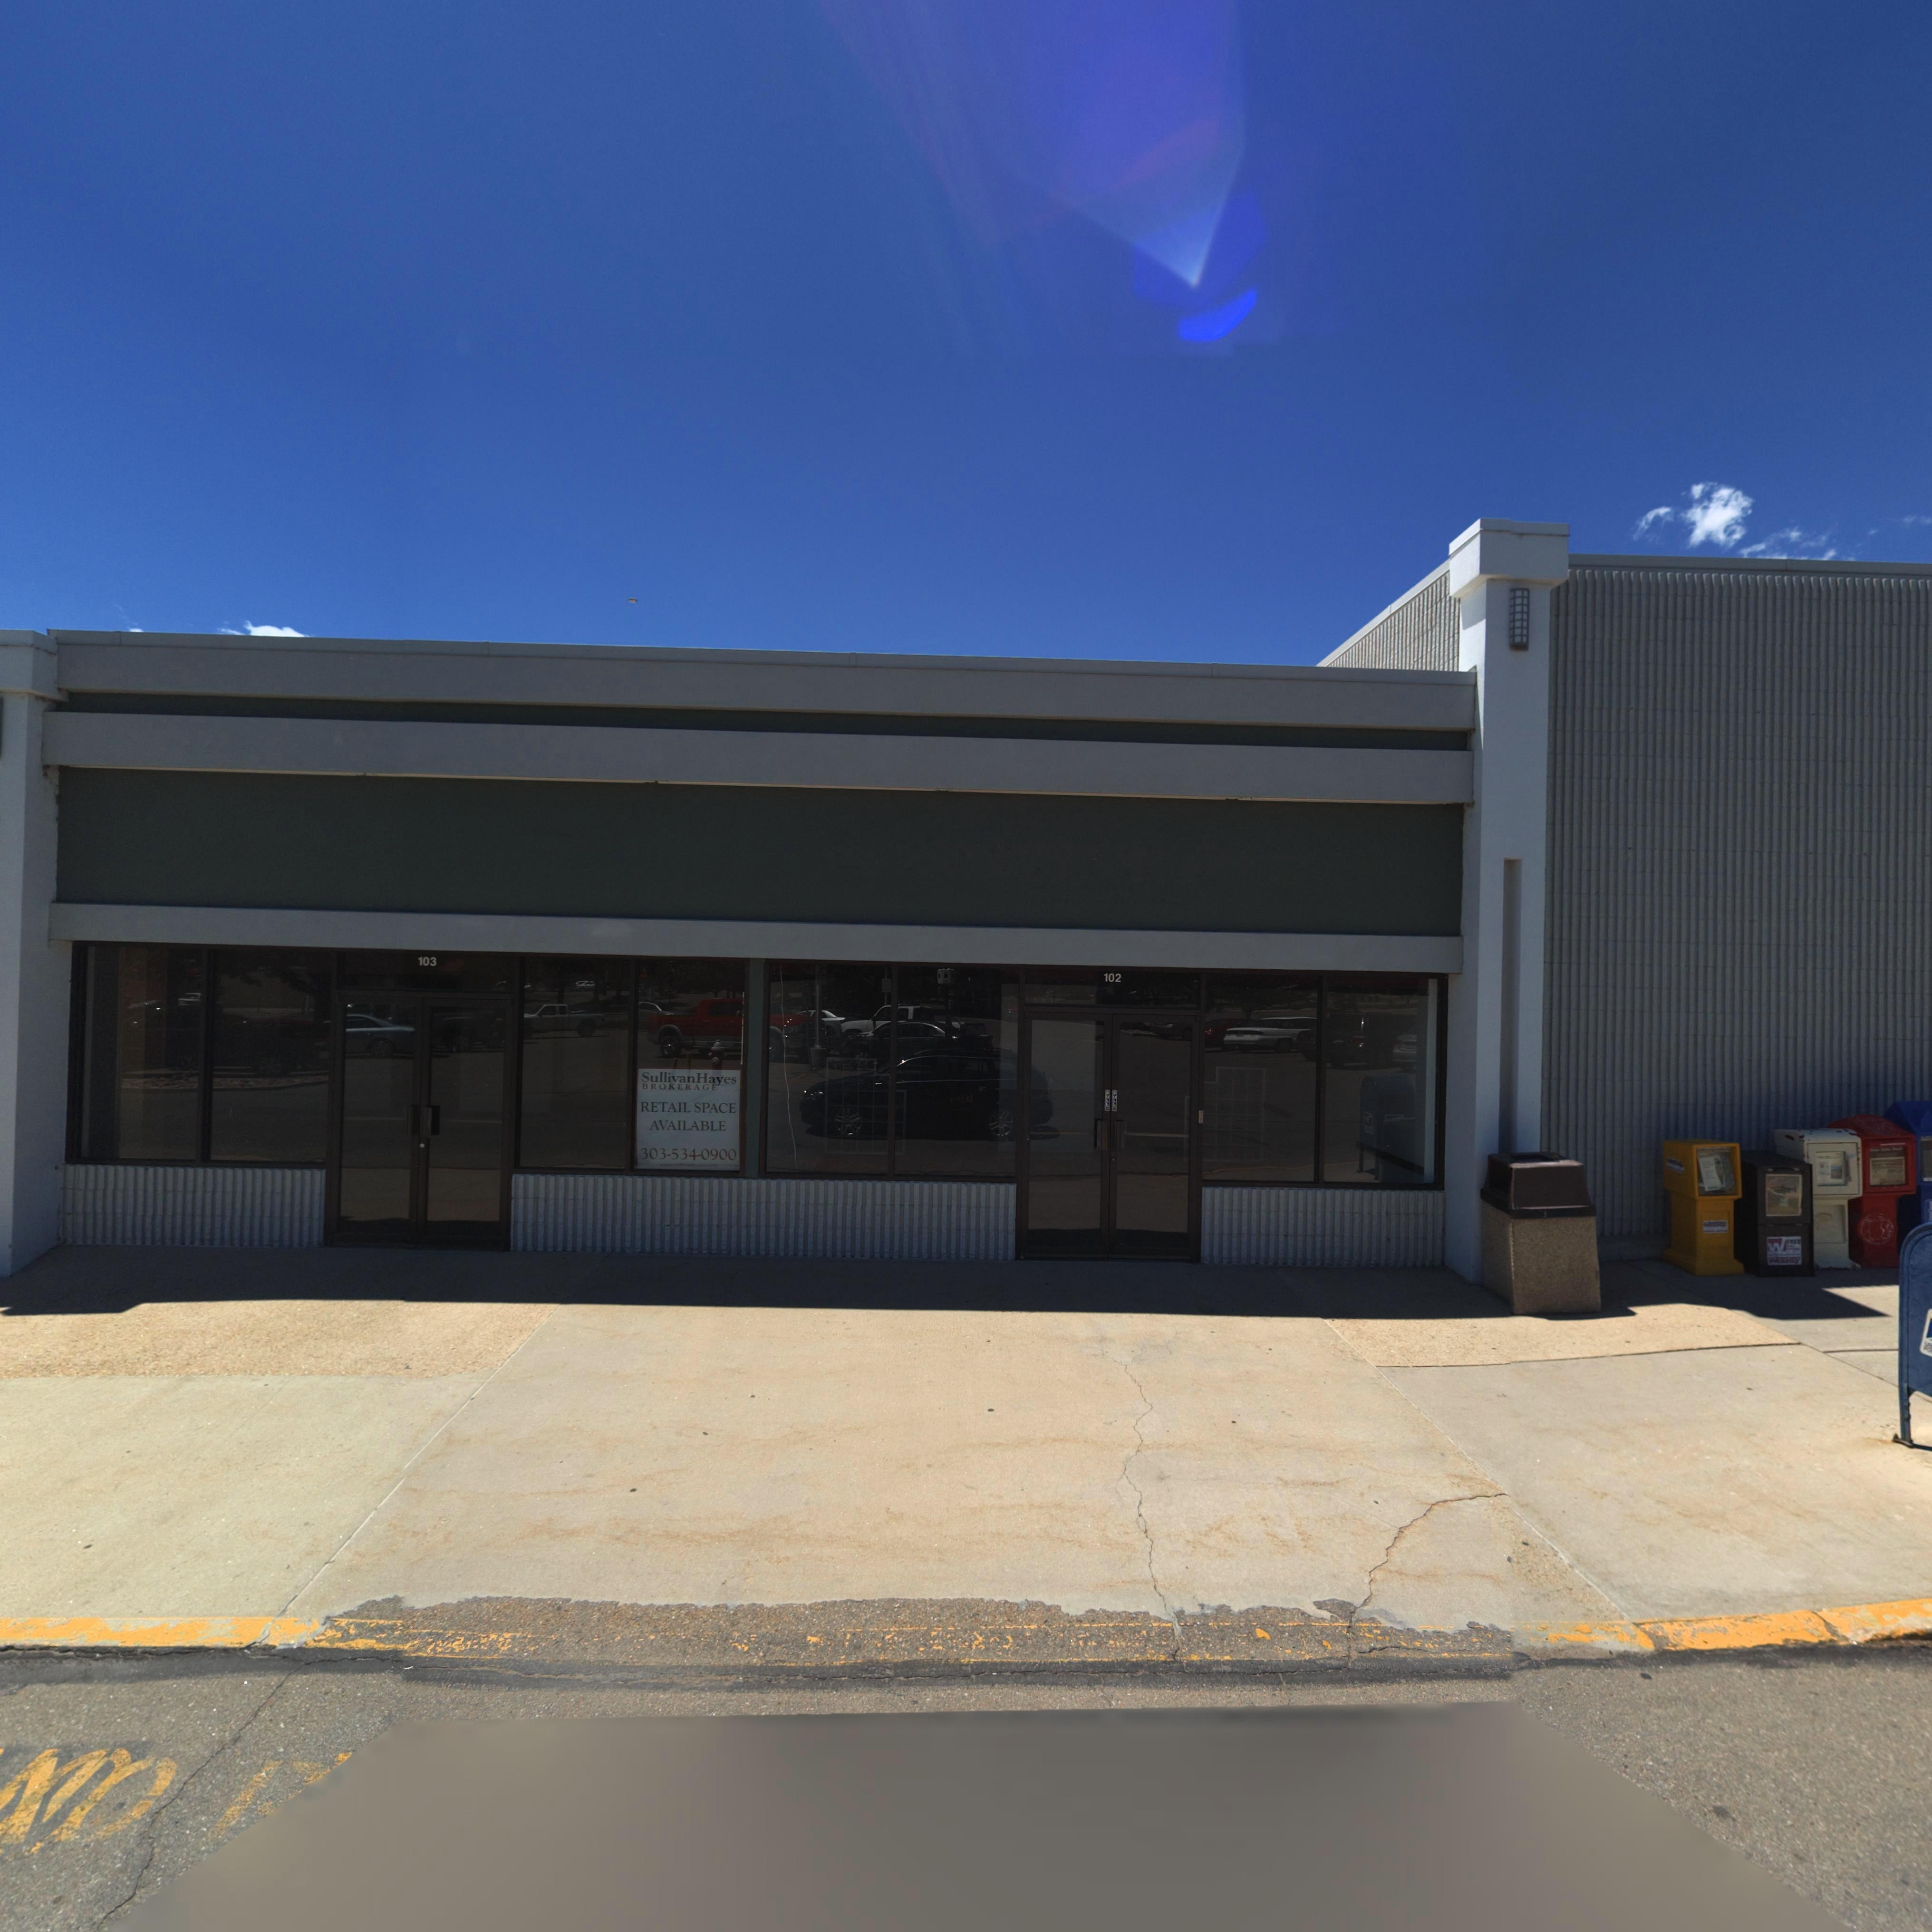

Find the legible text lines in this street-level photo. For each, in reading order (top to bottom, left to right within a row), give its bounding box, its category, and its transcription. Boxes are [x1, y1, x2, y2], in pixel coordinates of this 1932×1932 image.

[417, 956, 437, 966] StreetNumber: 103
[1103, 972, 1121, 982] StreetNumber: 102